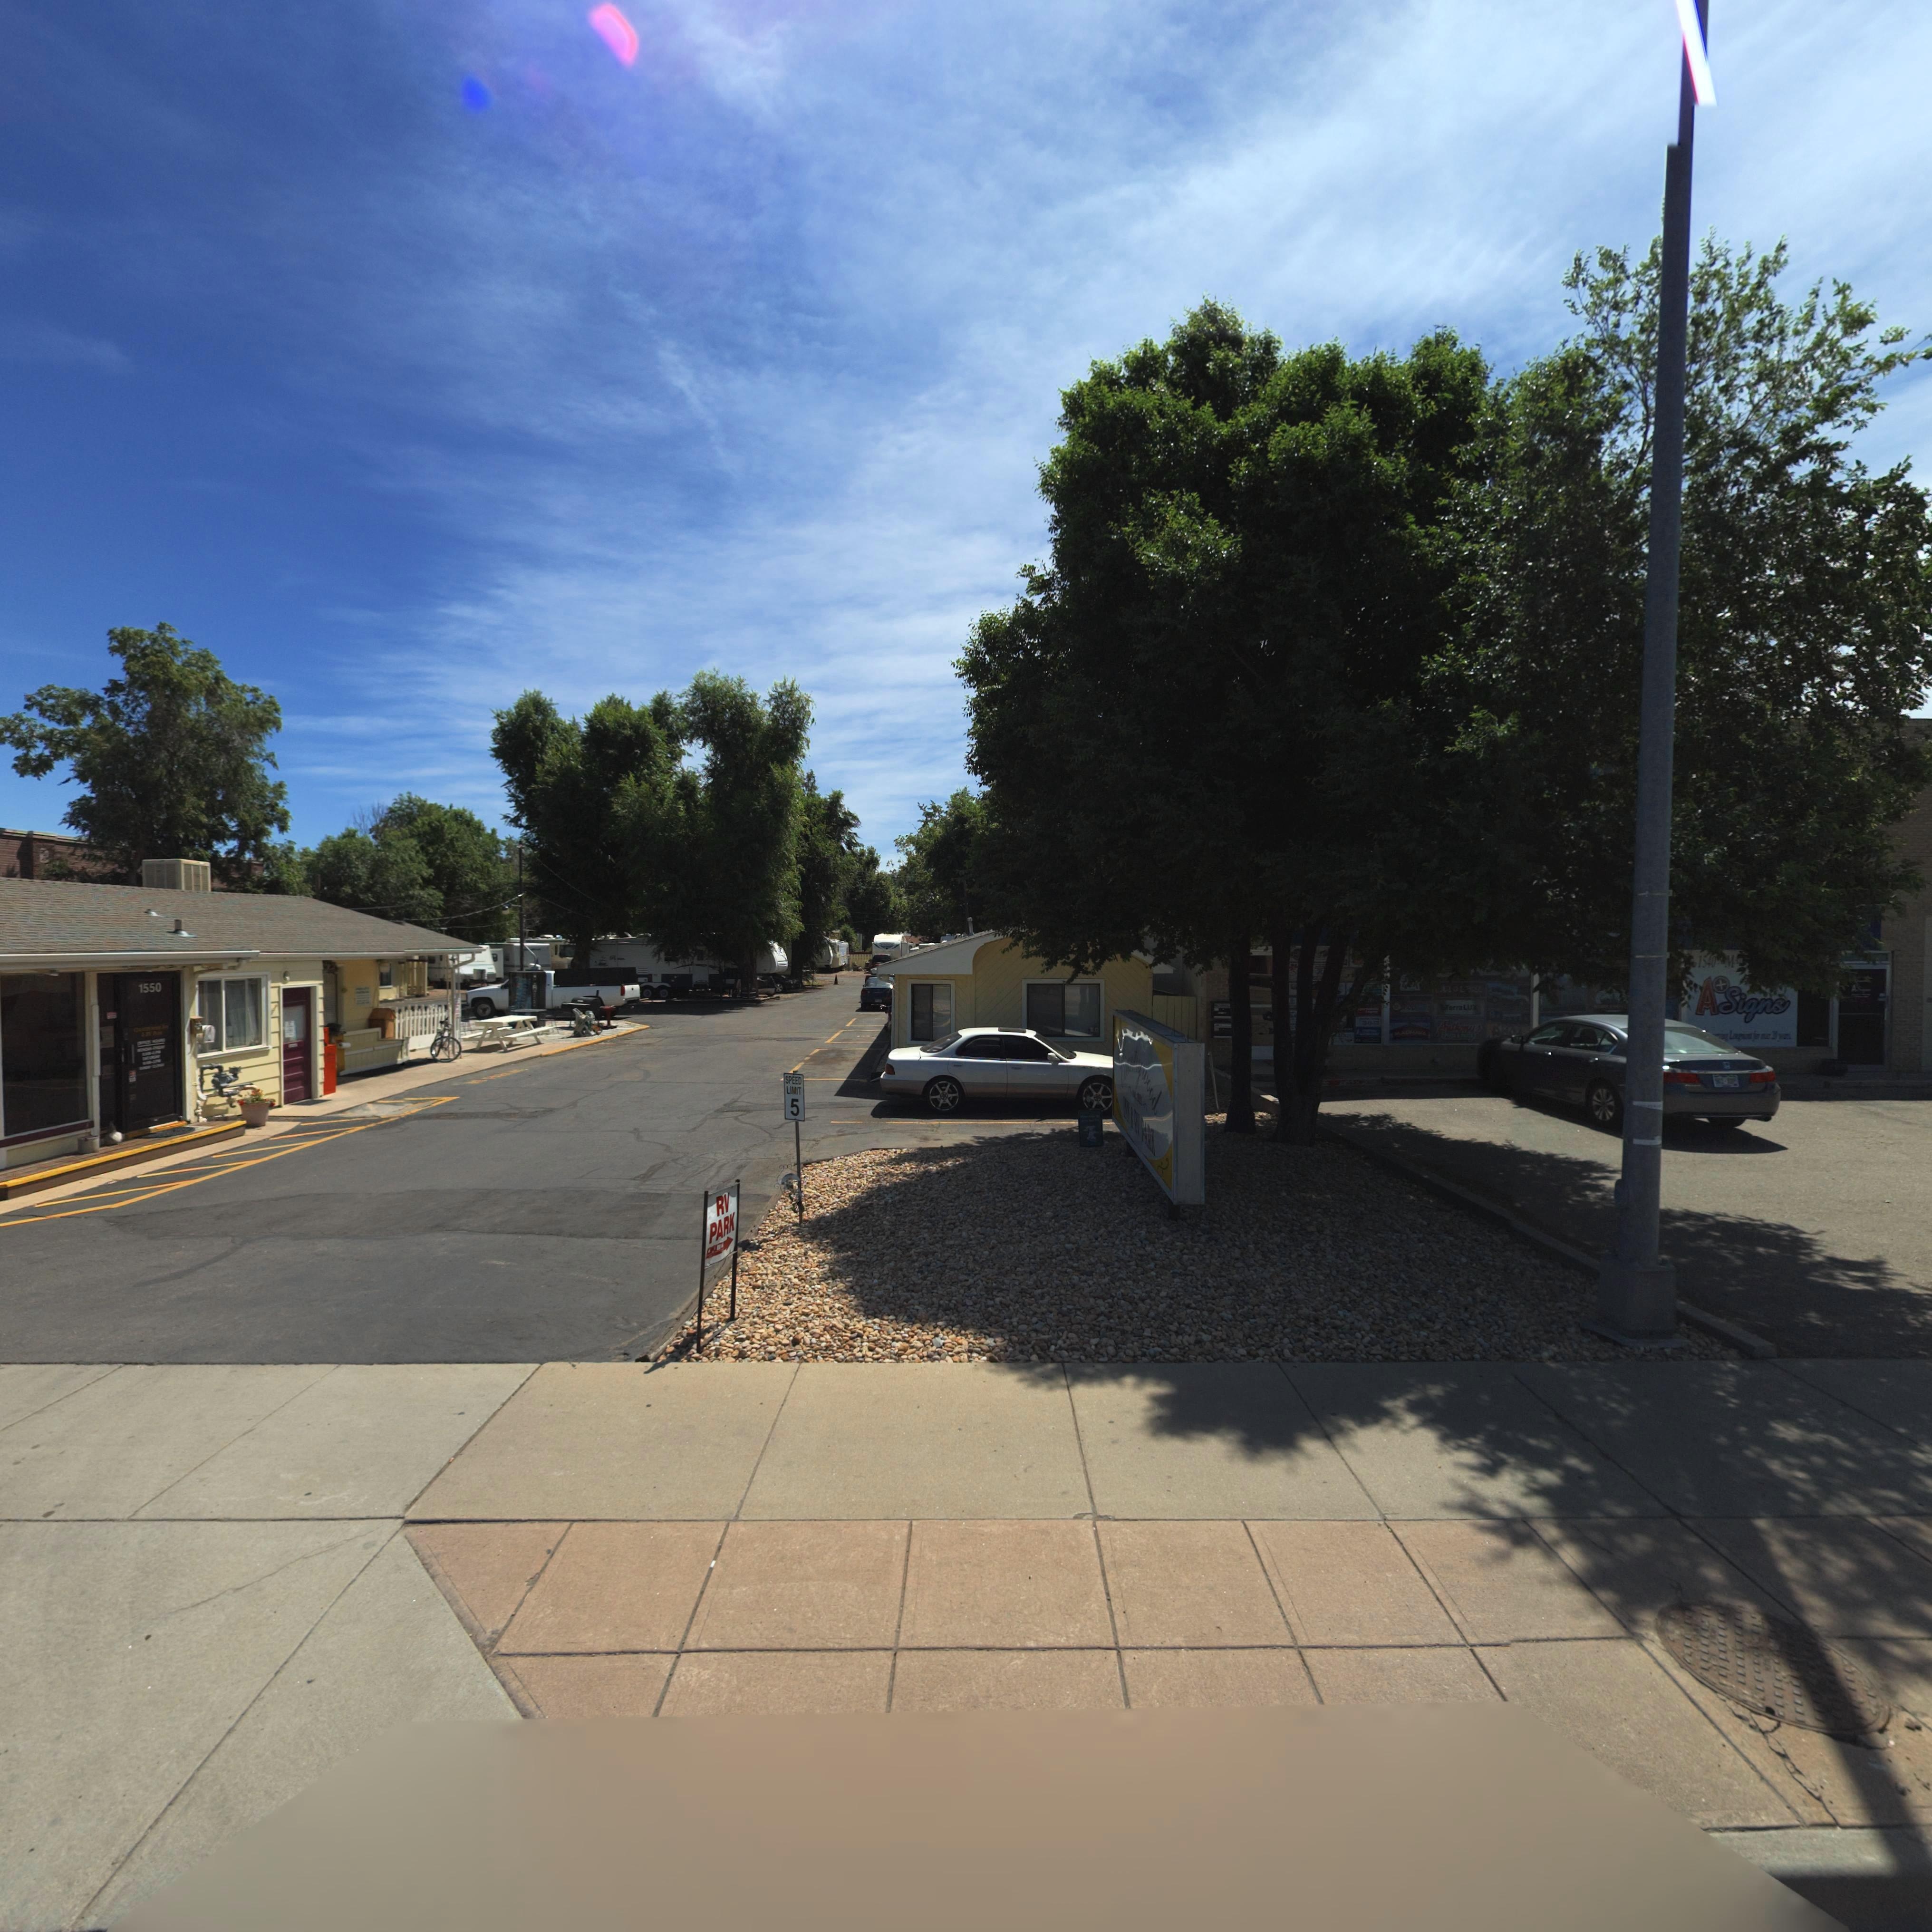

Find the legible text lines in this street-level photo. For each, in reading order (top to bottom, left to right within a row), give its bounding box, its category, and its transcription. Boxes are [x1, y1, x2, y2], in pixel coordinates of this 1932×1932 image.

[1697, 955, 1718, 968] StreetNumber: 1540
[1723, 954, 1735, 968] StreetName: M
[137, 982, 162, 993] StreetNumber: 1550
[1850, 984, 1856, 992] BusinessName: A
[1695, 976, 1790, 1023] BusinessName: ASigns
[1119, 1044, 1164, 1116] BusinessName: ******ywood
[1121, 1094, 1156, 1158] BusinessName: I*N * RV PARK